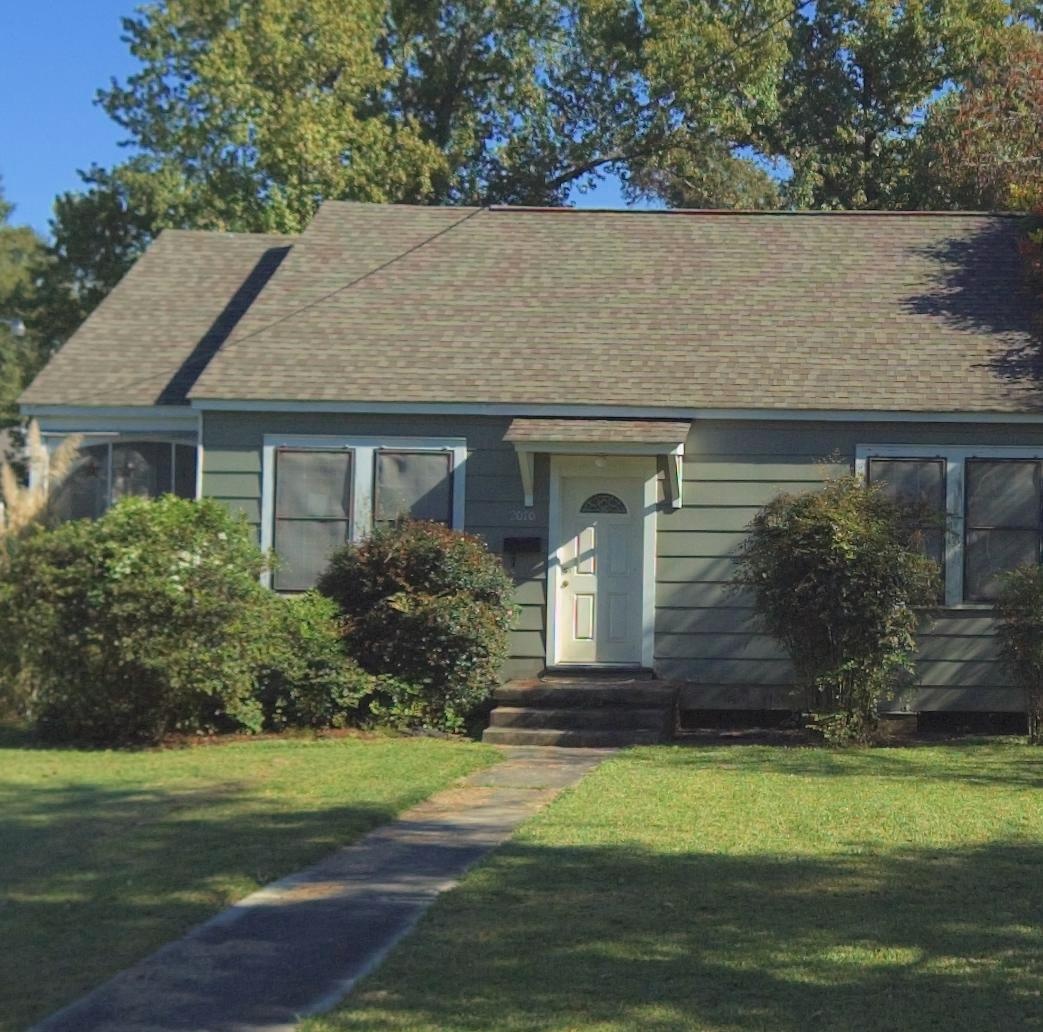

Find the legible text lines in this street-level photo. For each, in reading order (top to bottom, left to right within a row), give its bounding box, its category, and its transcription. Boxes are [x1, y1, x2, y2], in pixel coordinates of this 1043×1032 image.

[508, 508, 537, 522] StreetNumber: 2070